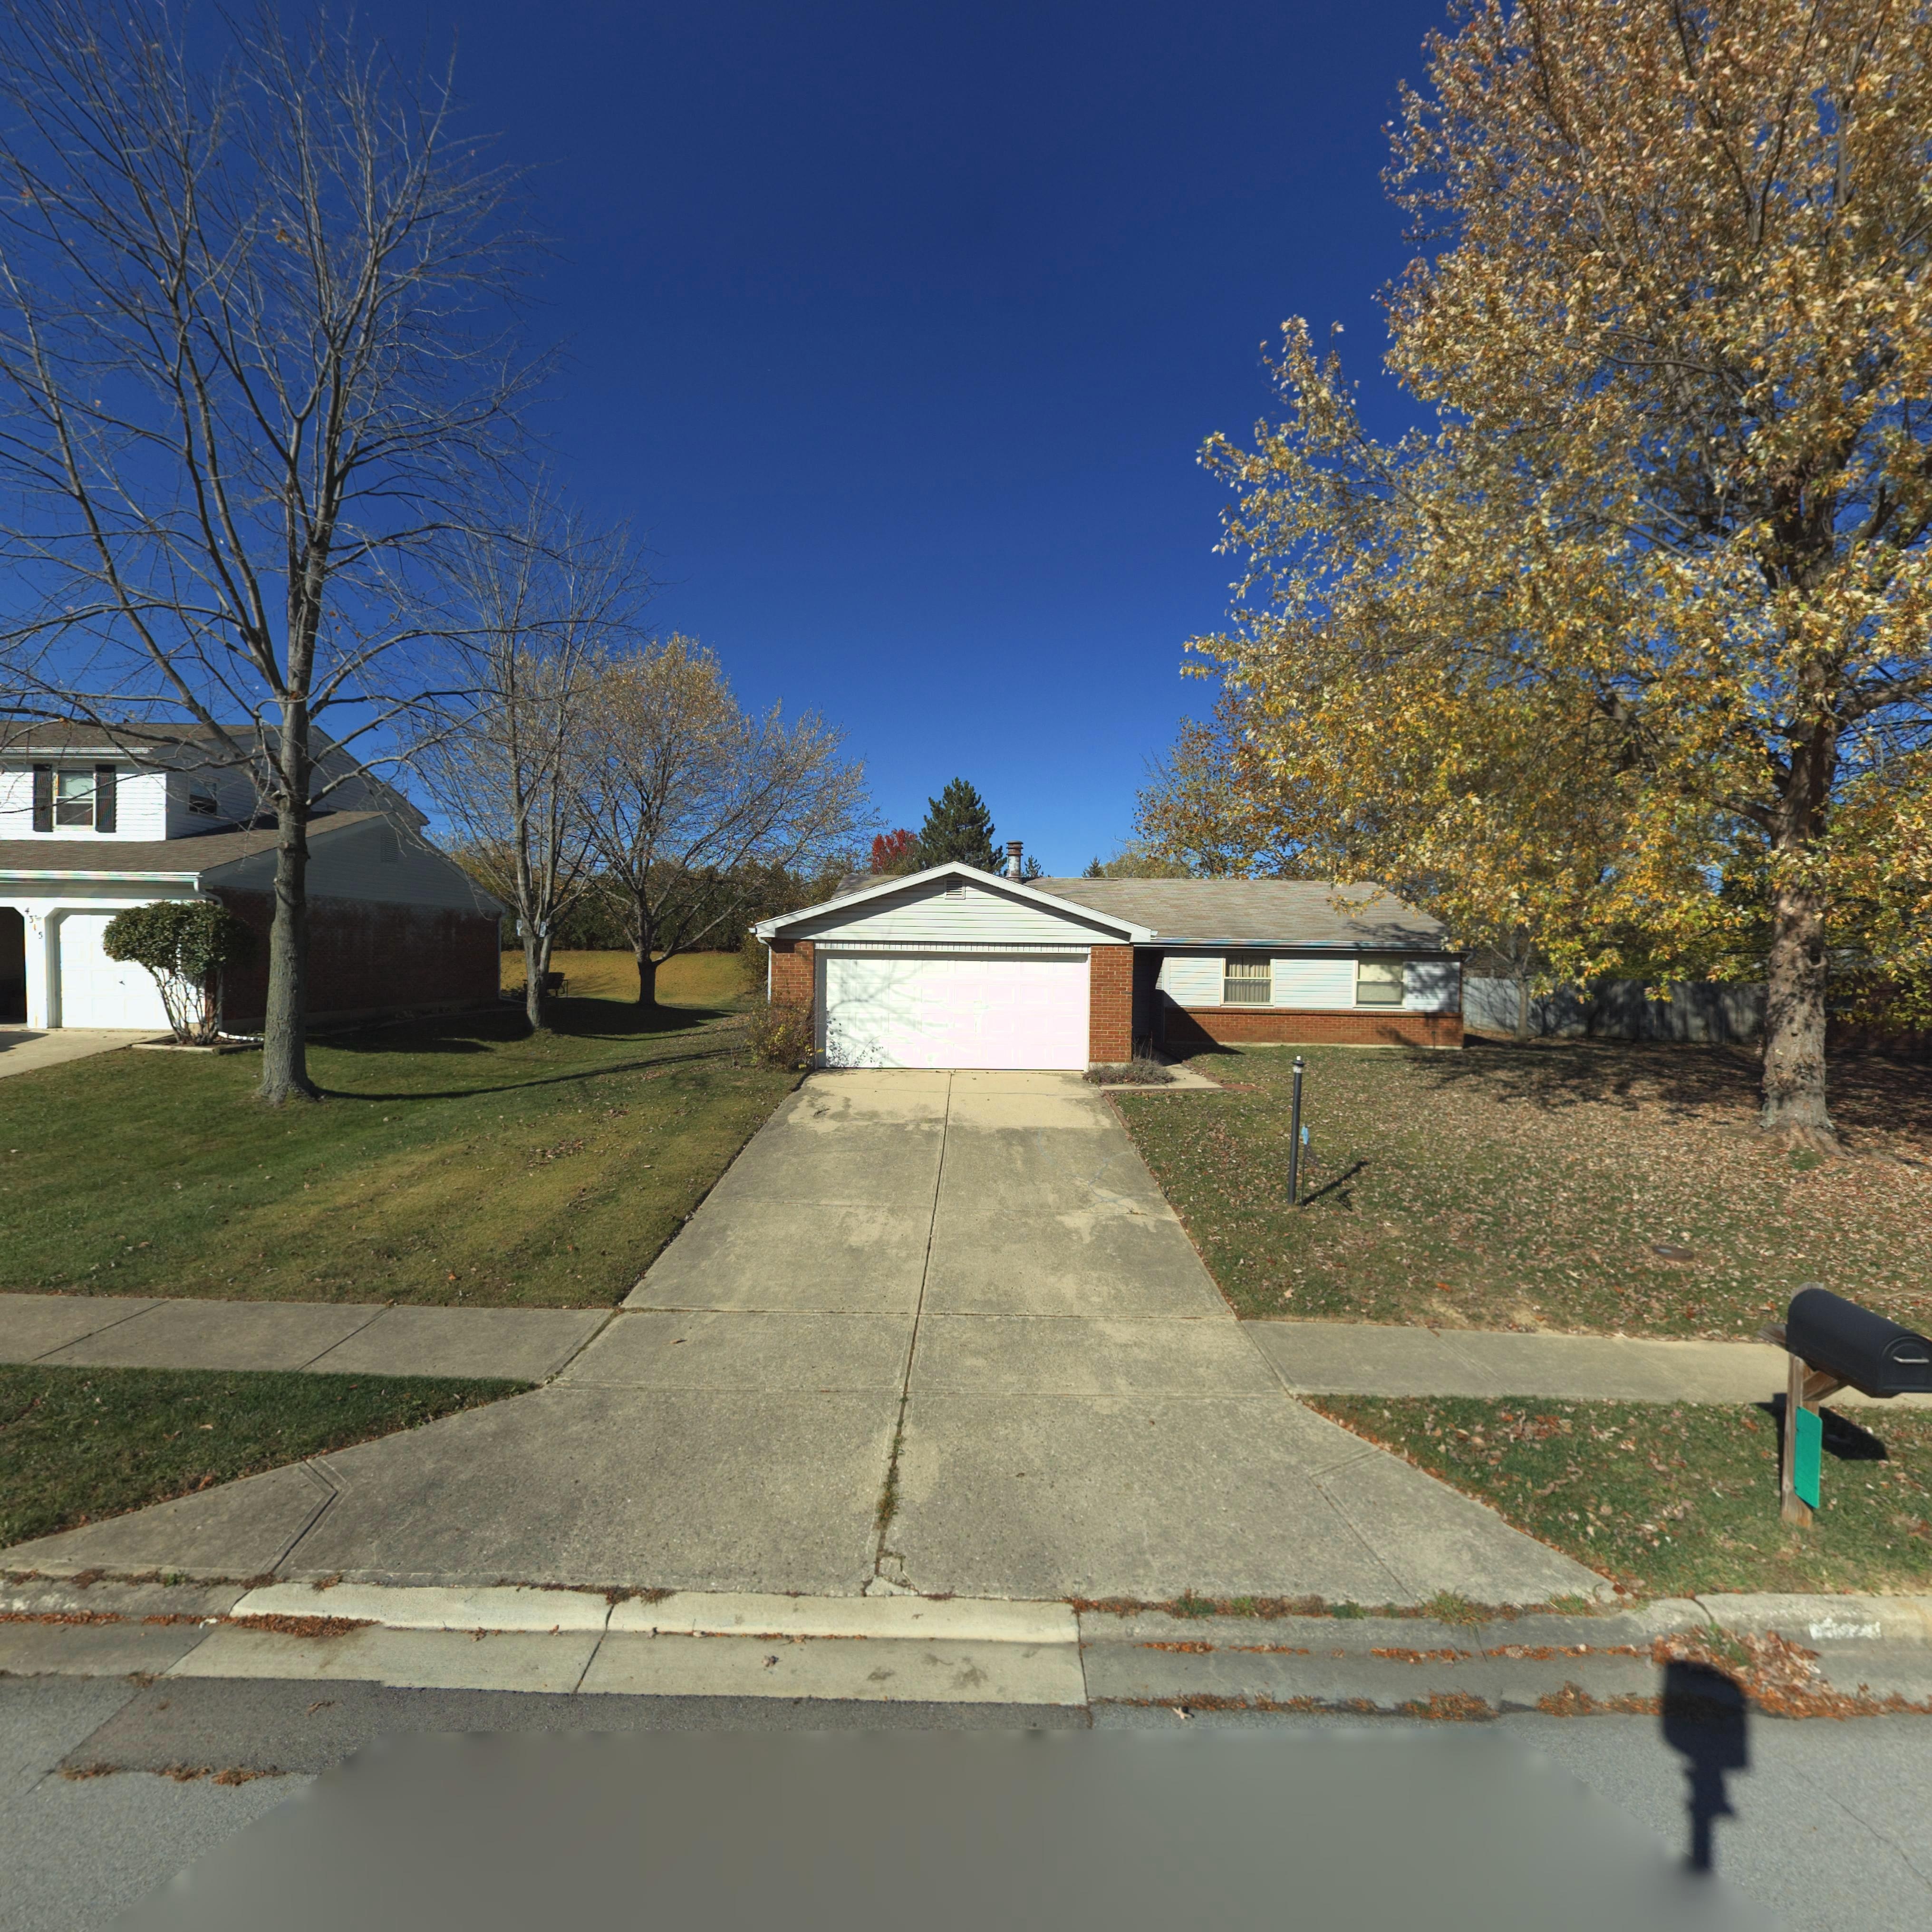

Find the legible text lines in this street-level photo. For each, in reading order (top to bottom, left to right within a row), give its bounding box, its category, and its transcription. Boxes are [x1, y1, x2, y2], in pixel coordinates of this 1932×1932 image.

[23, 907, 44, 940] StreetNumber: 4315